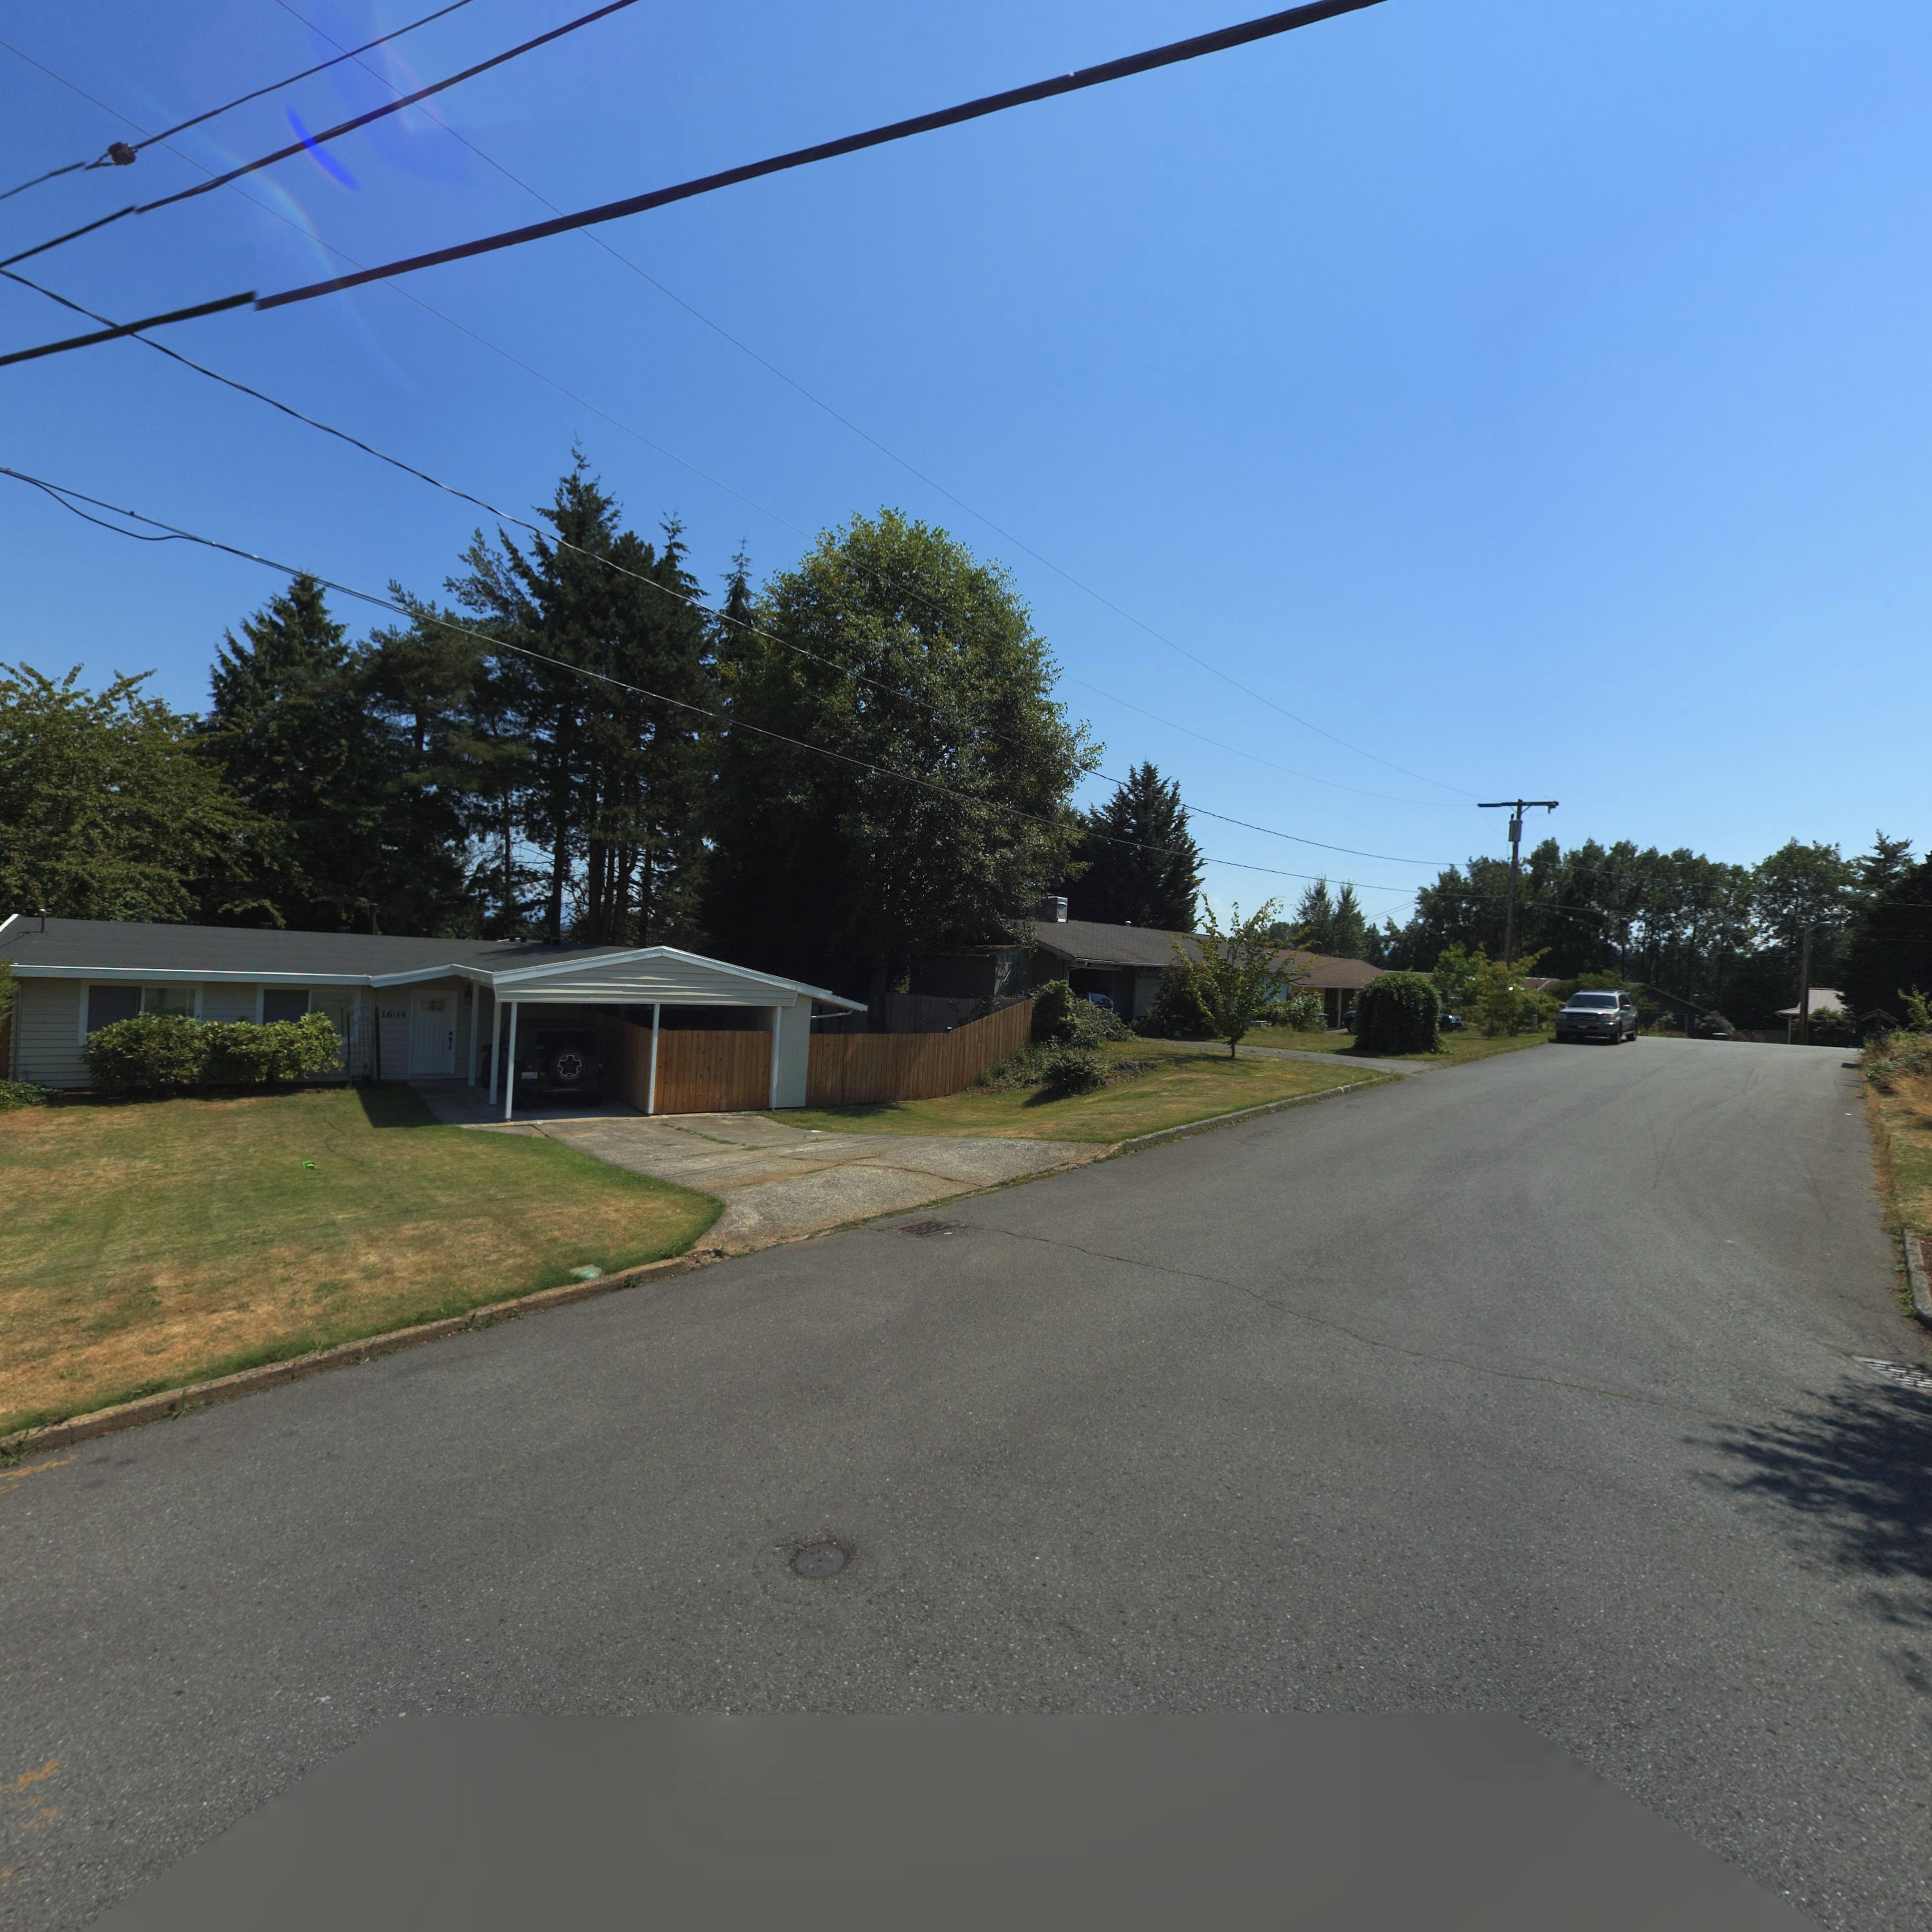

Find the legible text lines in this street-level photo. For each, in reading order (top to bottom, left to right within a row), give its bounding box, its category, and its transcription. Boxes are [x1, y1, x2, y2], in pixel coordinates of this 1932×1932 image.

[381, 1010, 407, 1018] StreetNumber: 1614